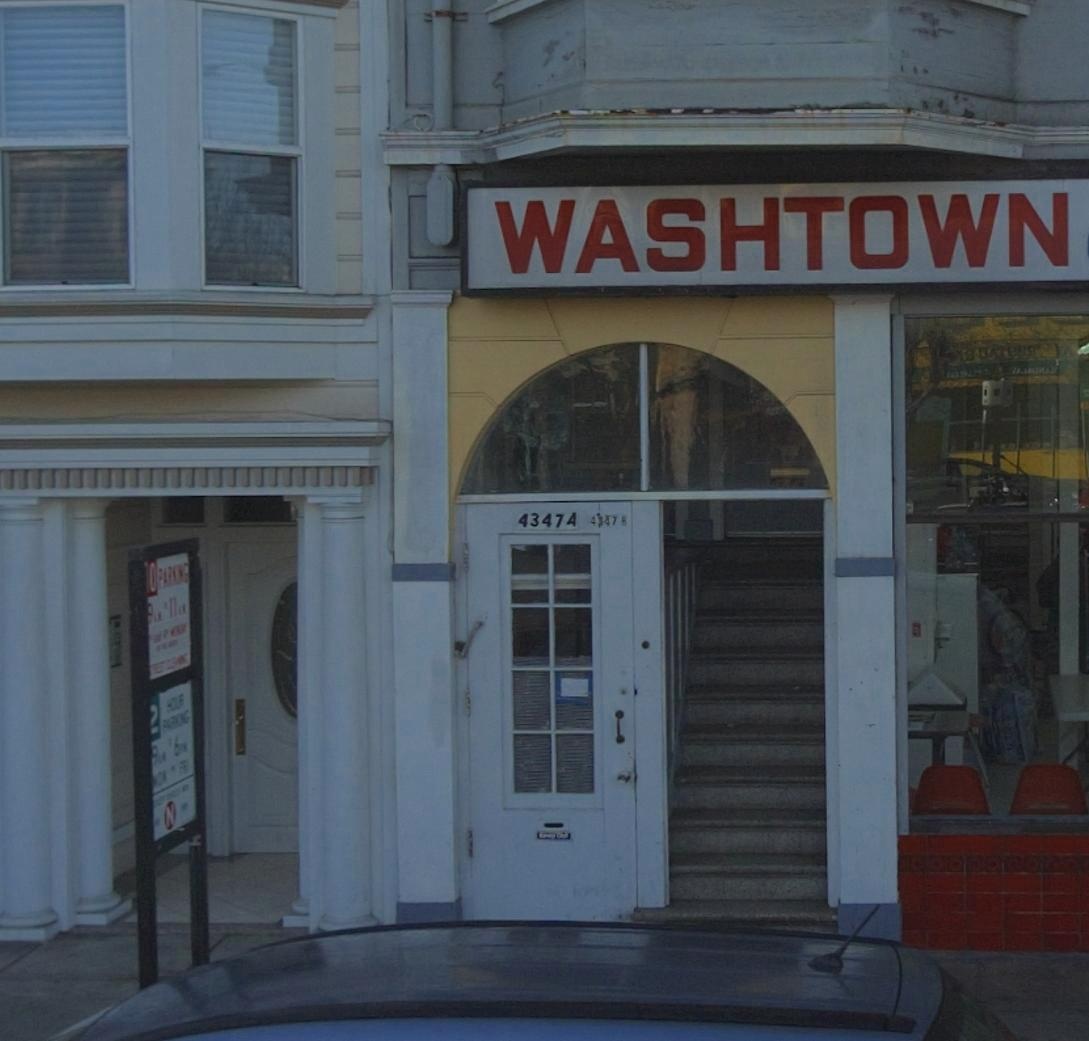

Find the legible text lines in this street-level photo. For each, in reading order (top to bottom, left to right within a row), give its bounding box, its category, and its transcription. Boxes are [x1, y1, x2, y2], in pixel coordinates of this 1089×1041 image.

[486, 187, 1076, 279] BusinessName: WASHTOWN
[516, 510, 566, 530] StreetNumber: 4347
[565, 510, 579, 529] StreetNumber: A
[588, 512, 619, 528] StreetNumber: 43*7
[620, 514, 629, 527] StreetNumber: B
[147, 558, 192, 597] None: O PARKING
[168, 593, 180, 623] None: 11
[164, 690, 187, 717] None: HOUR
[171, 732, 182, 762] None: 6
[162, 799, 178, 834] None: N